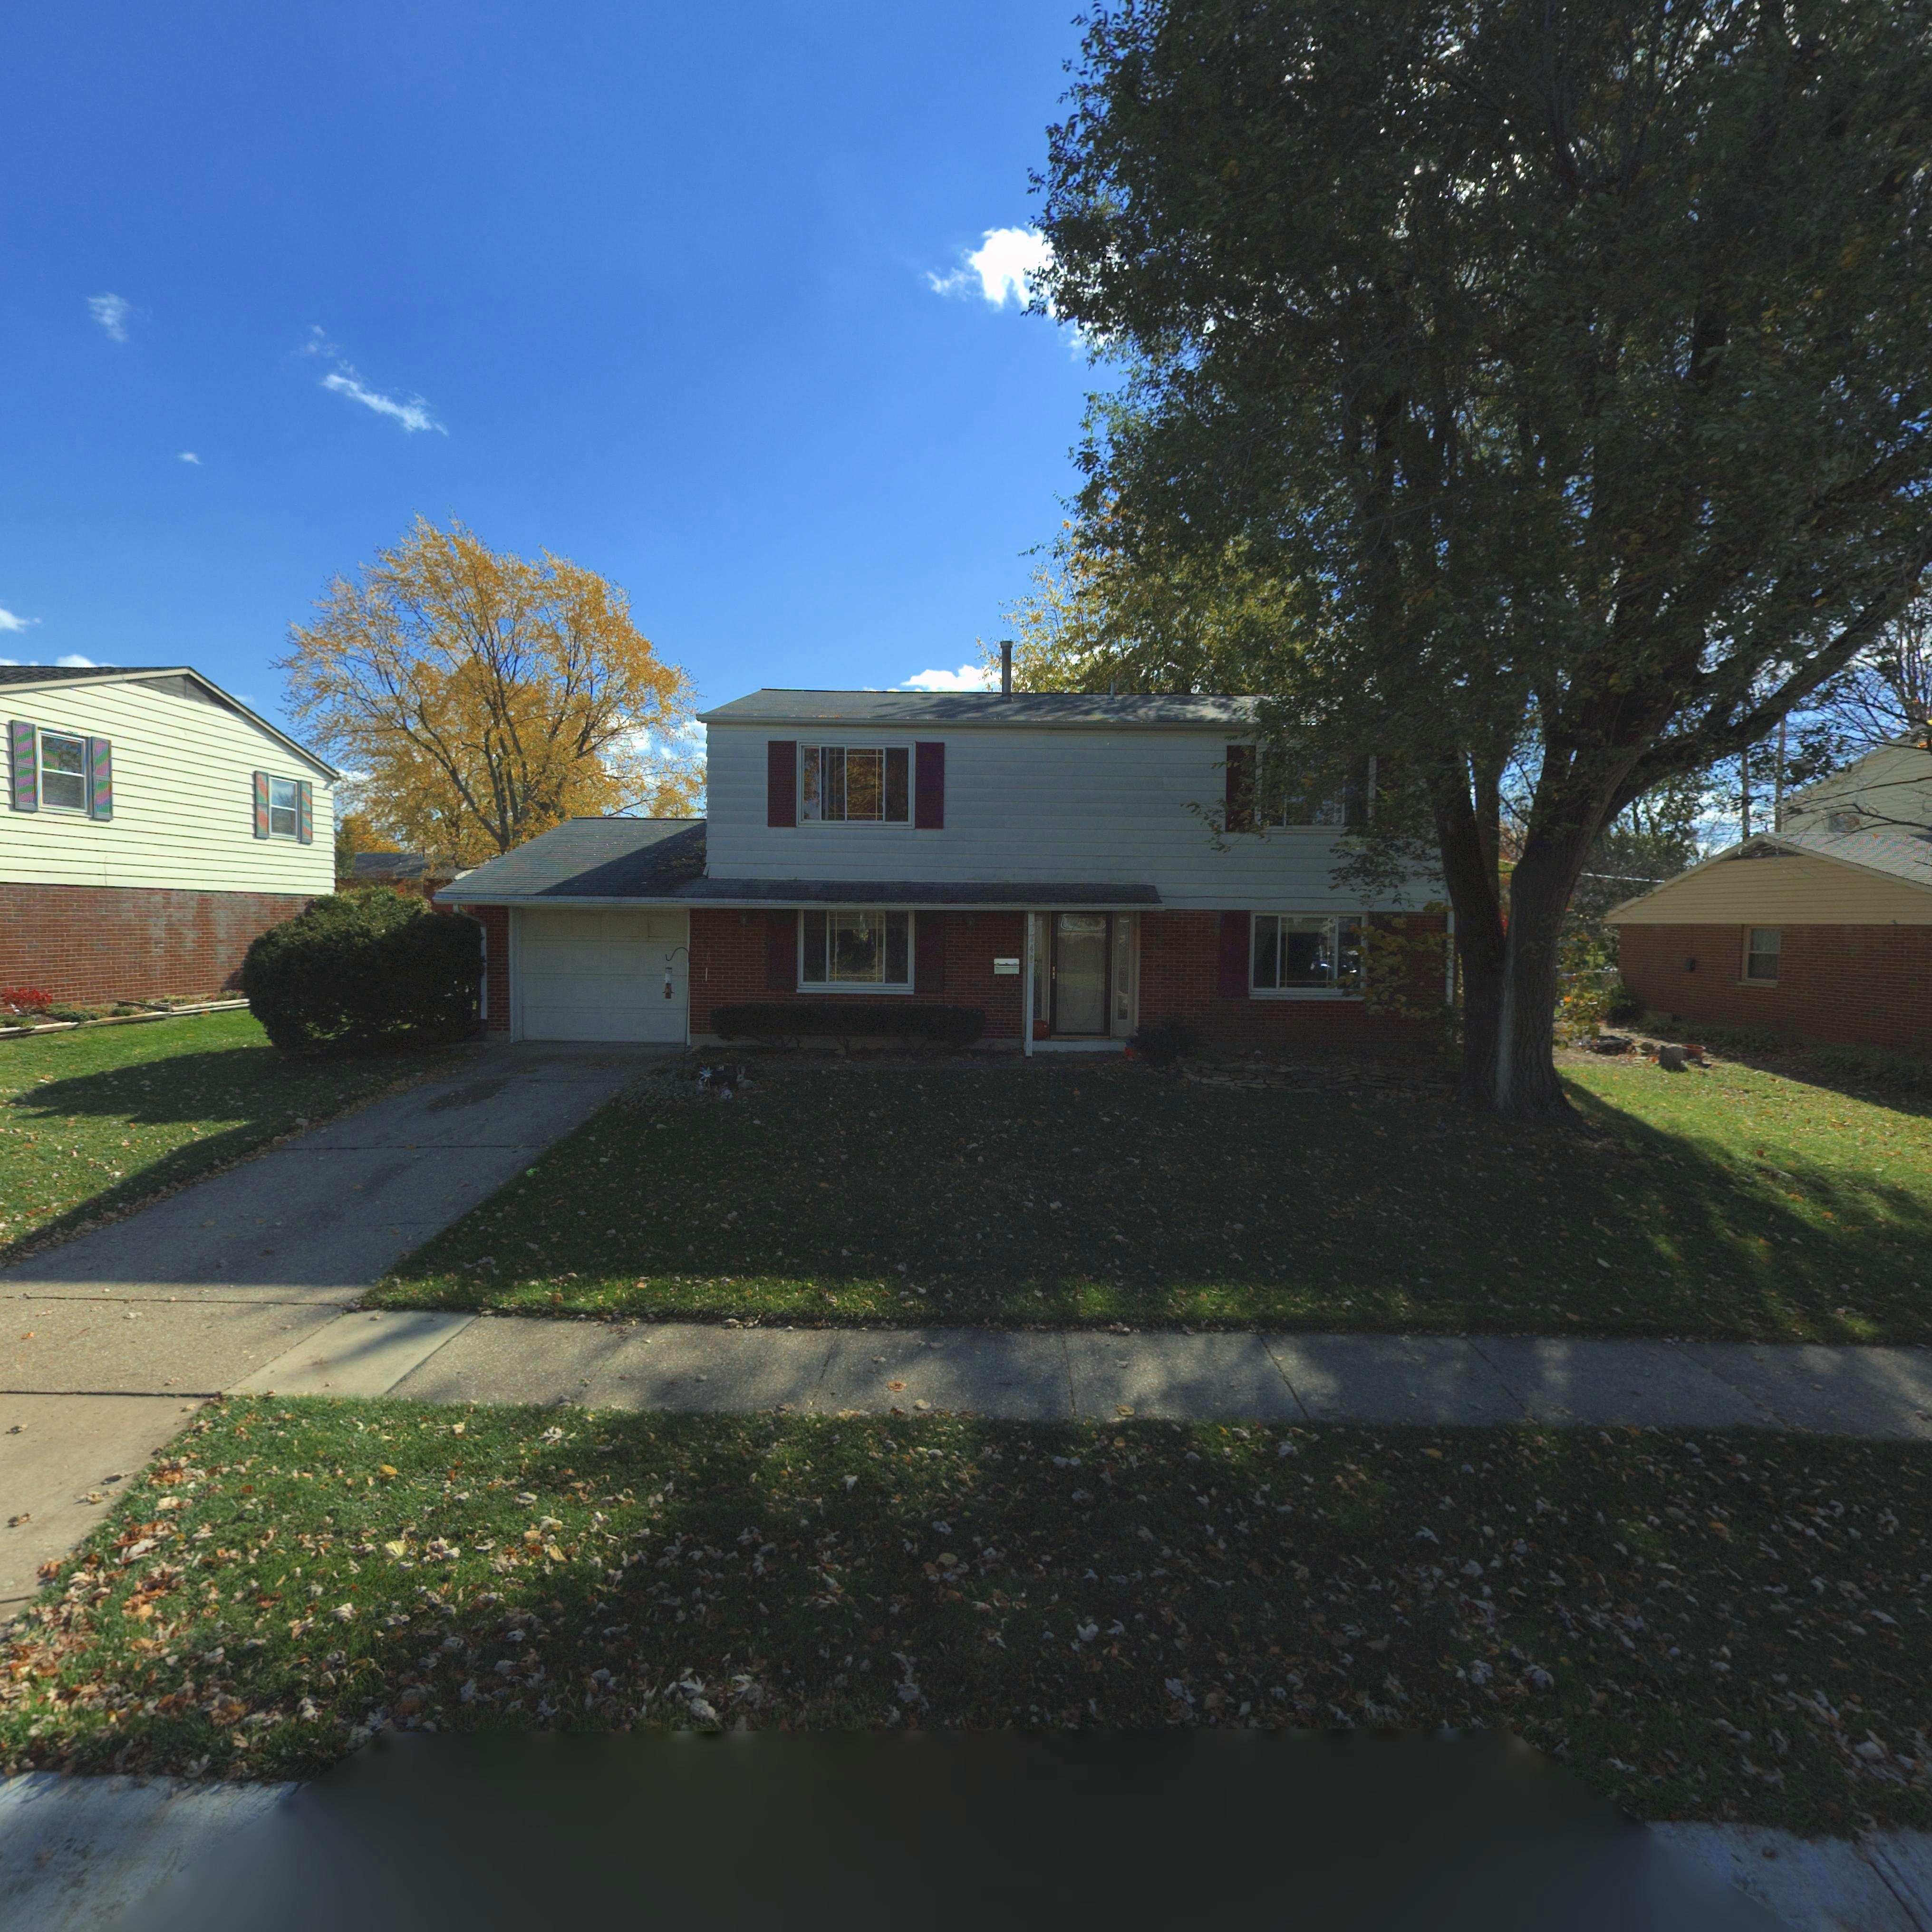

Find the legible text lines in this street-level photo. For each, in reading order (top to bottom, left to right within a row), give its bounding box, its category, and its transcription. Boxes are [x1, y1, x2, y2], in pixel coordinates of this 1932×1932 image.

[1028, 922, 1035, 963] StreetNumber: 7748